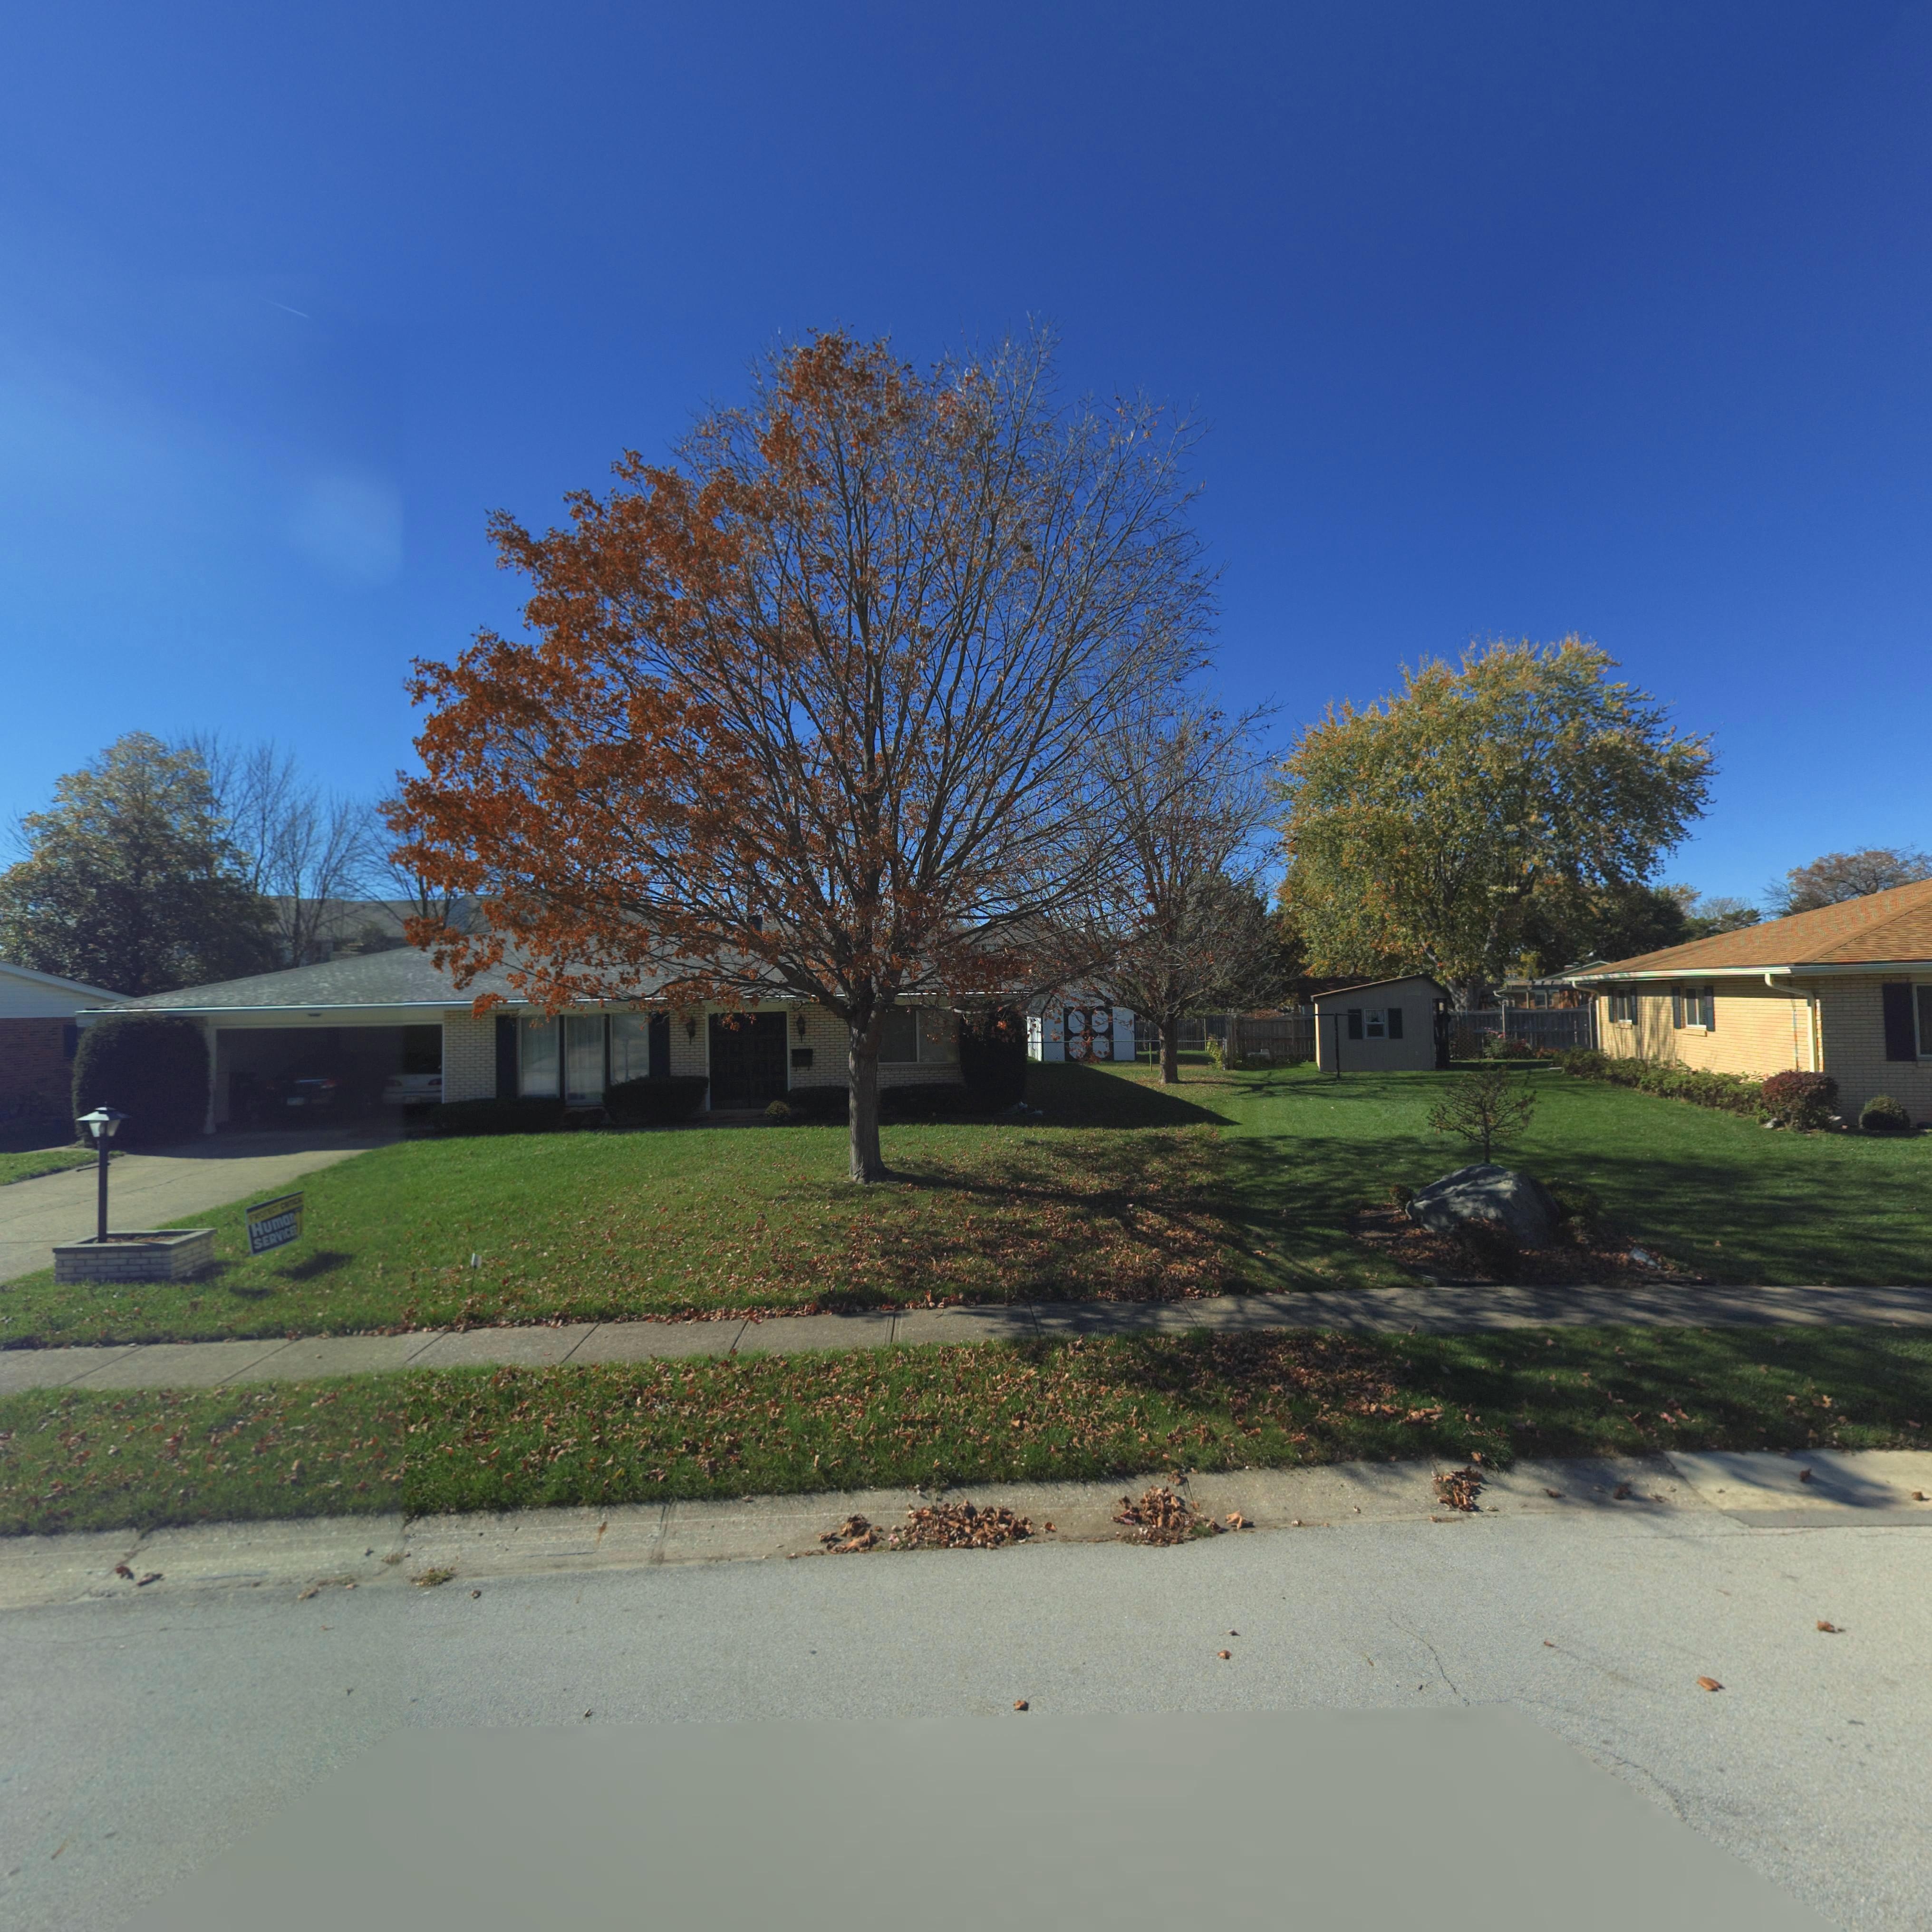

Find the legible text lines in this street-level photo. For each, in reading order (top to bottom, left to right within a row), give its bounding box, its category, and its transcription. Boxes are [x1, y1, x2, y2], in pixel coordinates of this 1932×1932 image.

[745, 1004, 755, 1009] StreetNumber: 05